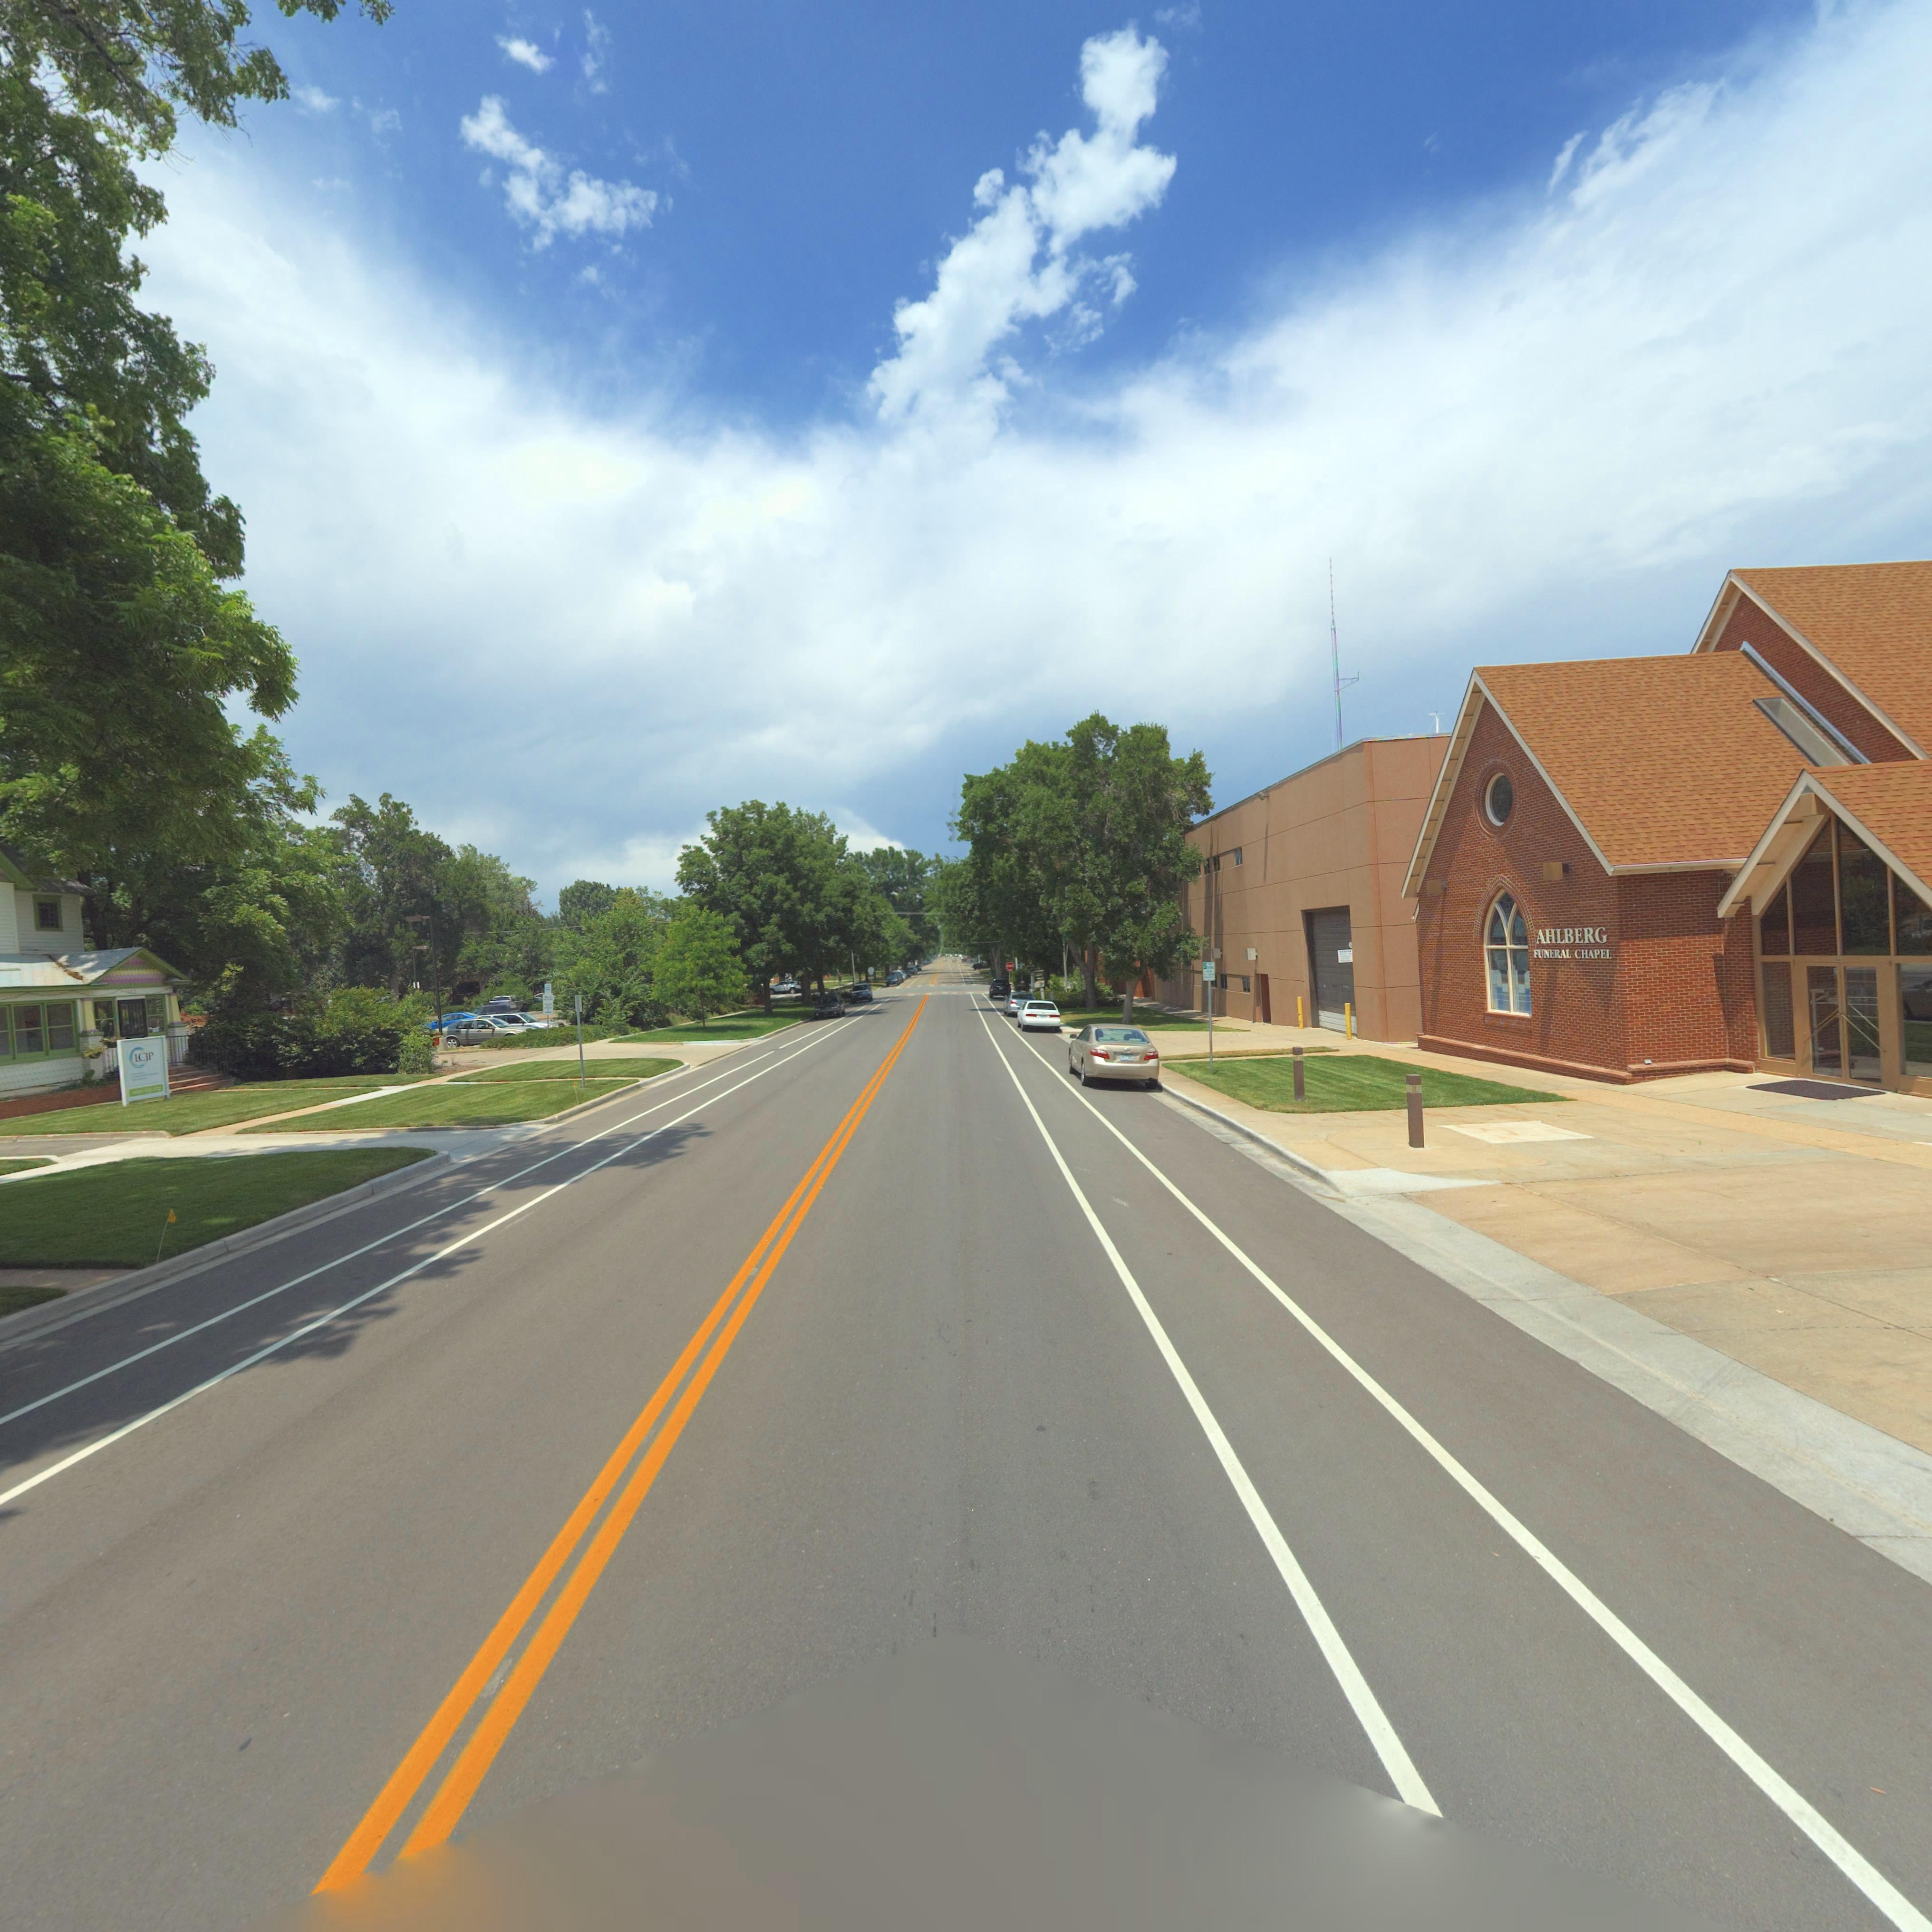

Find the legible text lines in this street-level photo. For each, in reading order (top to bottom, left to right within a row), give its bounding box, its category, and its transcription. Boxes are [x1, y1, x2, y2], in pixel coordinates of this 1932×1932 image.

[1536, 926, 1607, 944] BusinessName: AHLBERG
[1533, 948, 1612, 959] BusinessName: FUNERAL CHAPEL
[133, 1052, 155, 1062] BusinessName: LCJP